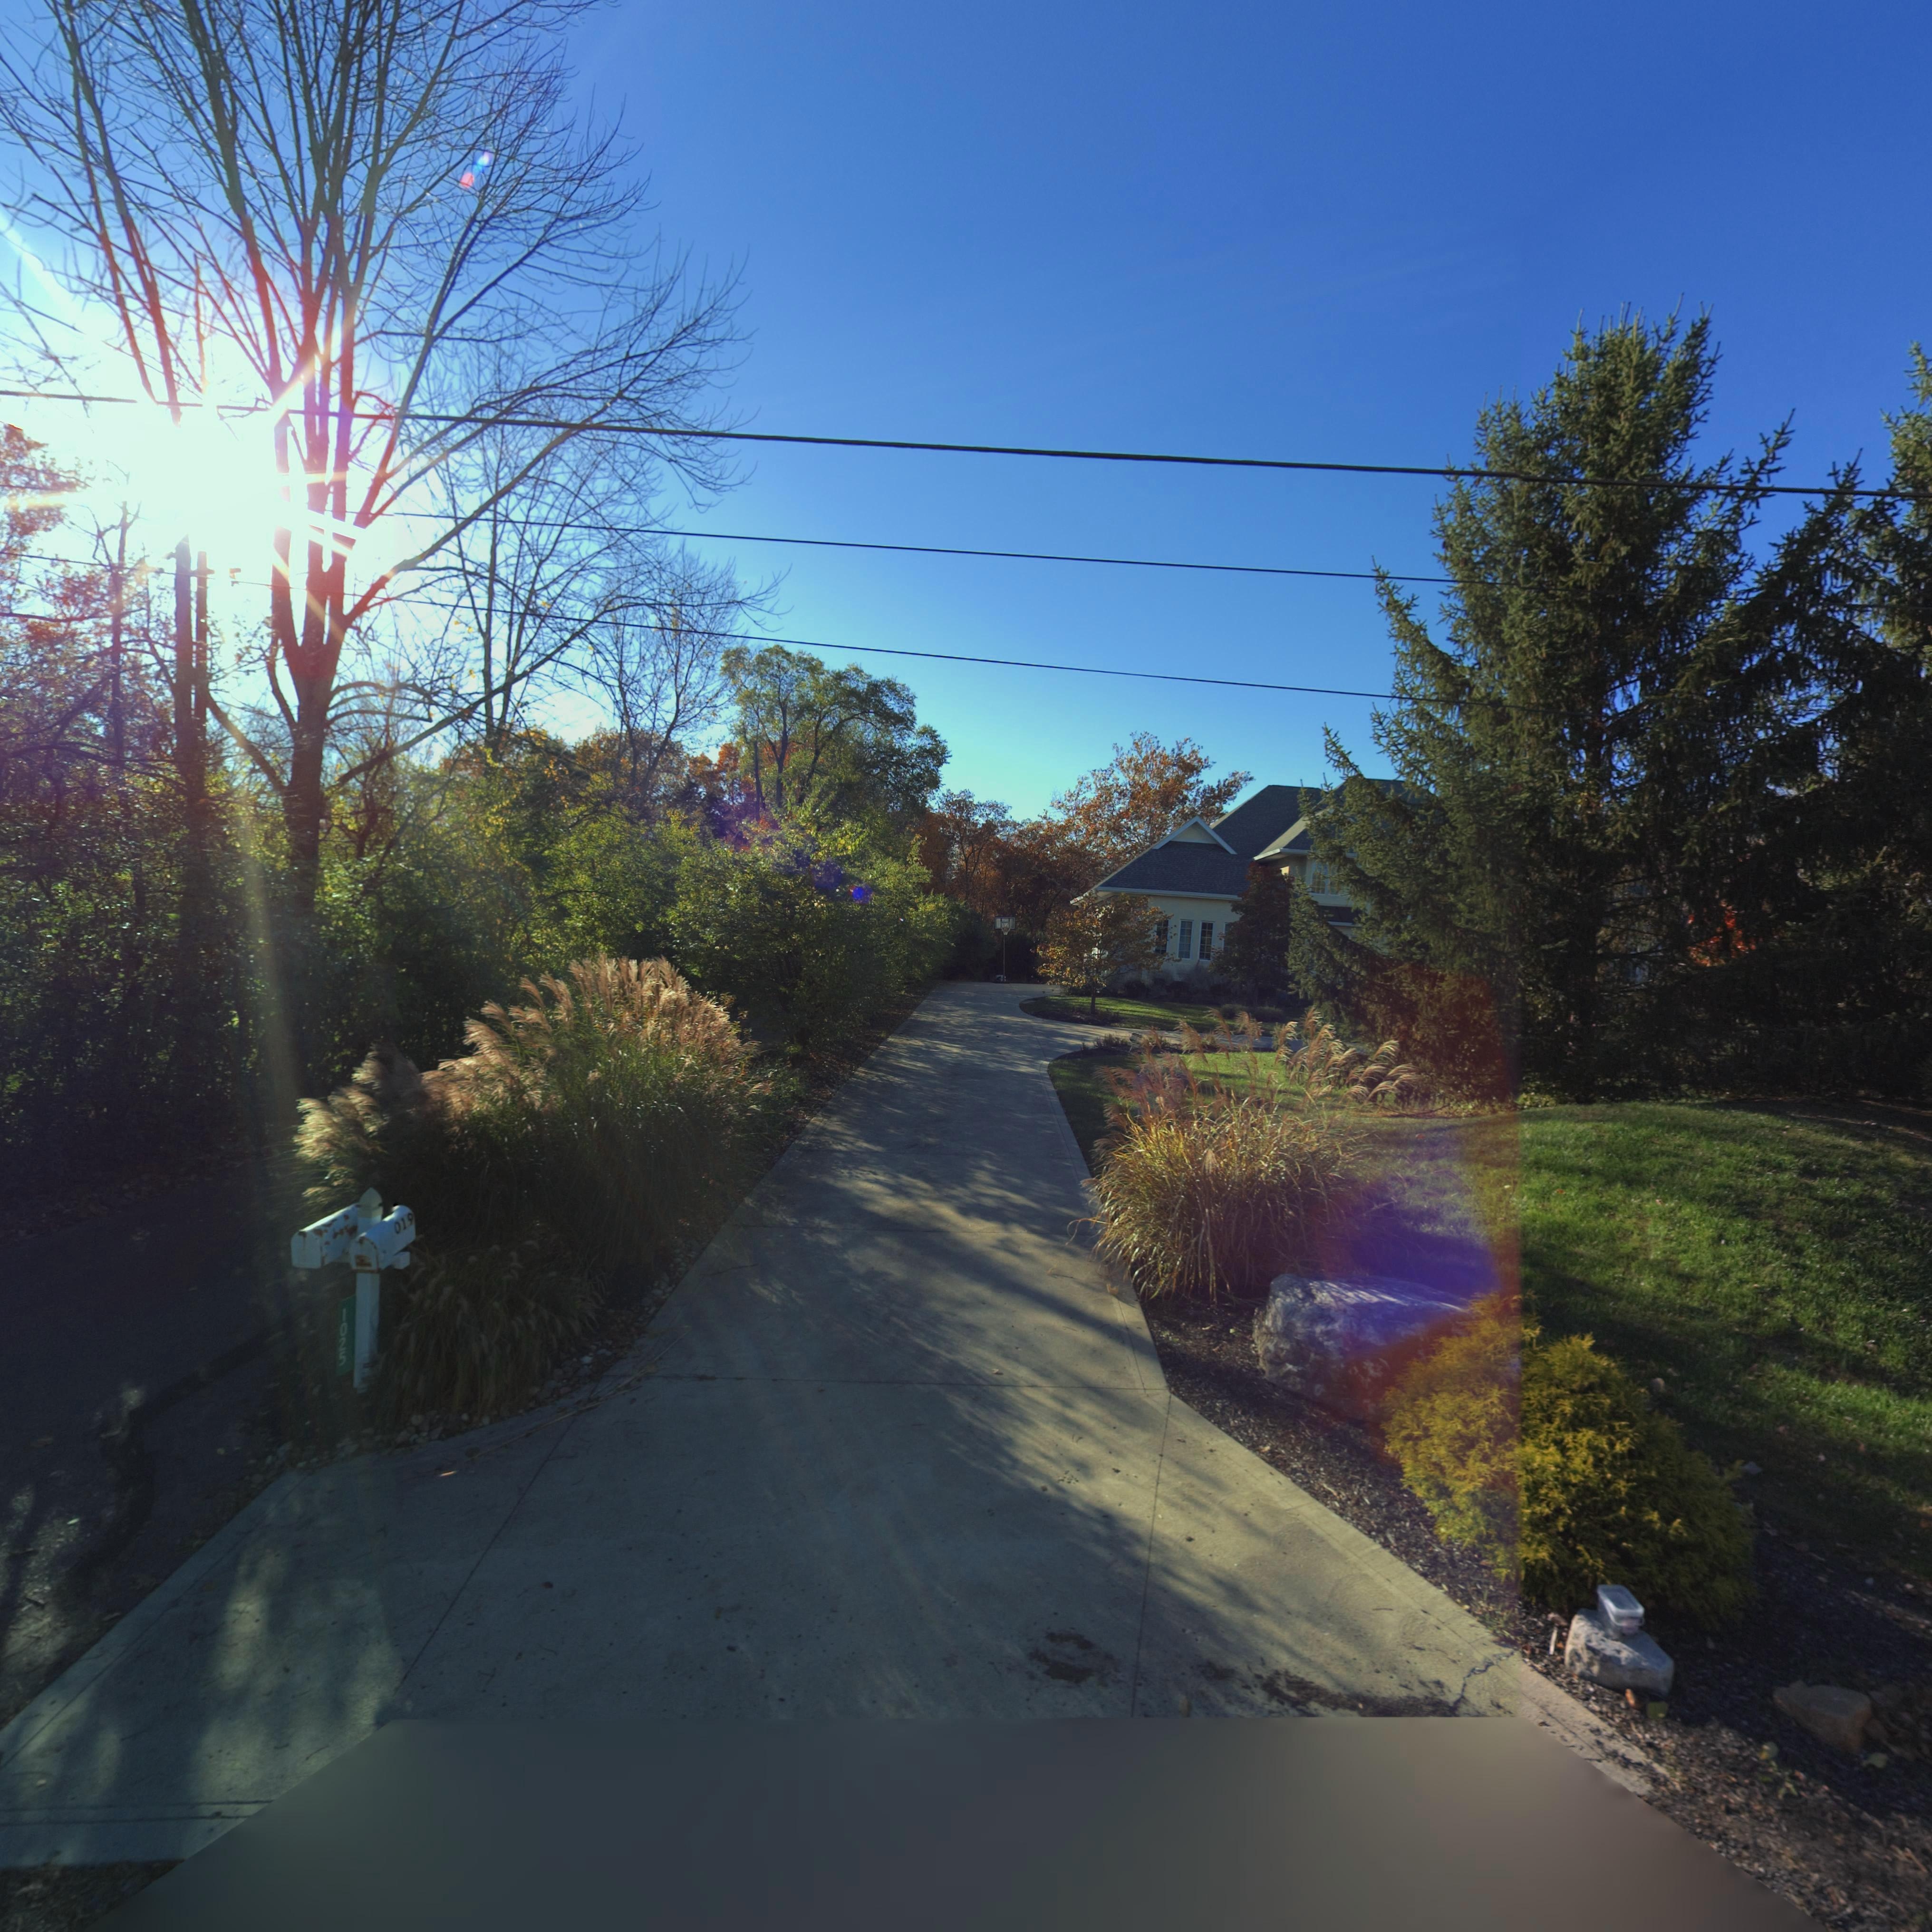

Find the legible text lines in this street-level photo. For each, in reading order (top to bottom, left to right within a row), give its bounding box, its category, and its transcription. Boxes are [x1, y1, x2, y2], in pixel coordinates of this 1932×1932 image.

[392, 1210, 415, 1238] StreetNumber: 019
[338, 1306, 349, 1369] StreetNumber: 1025